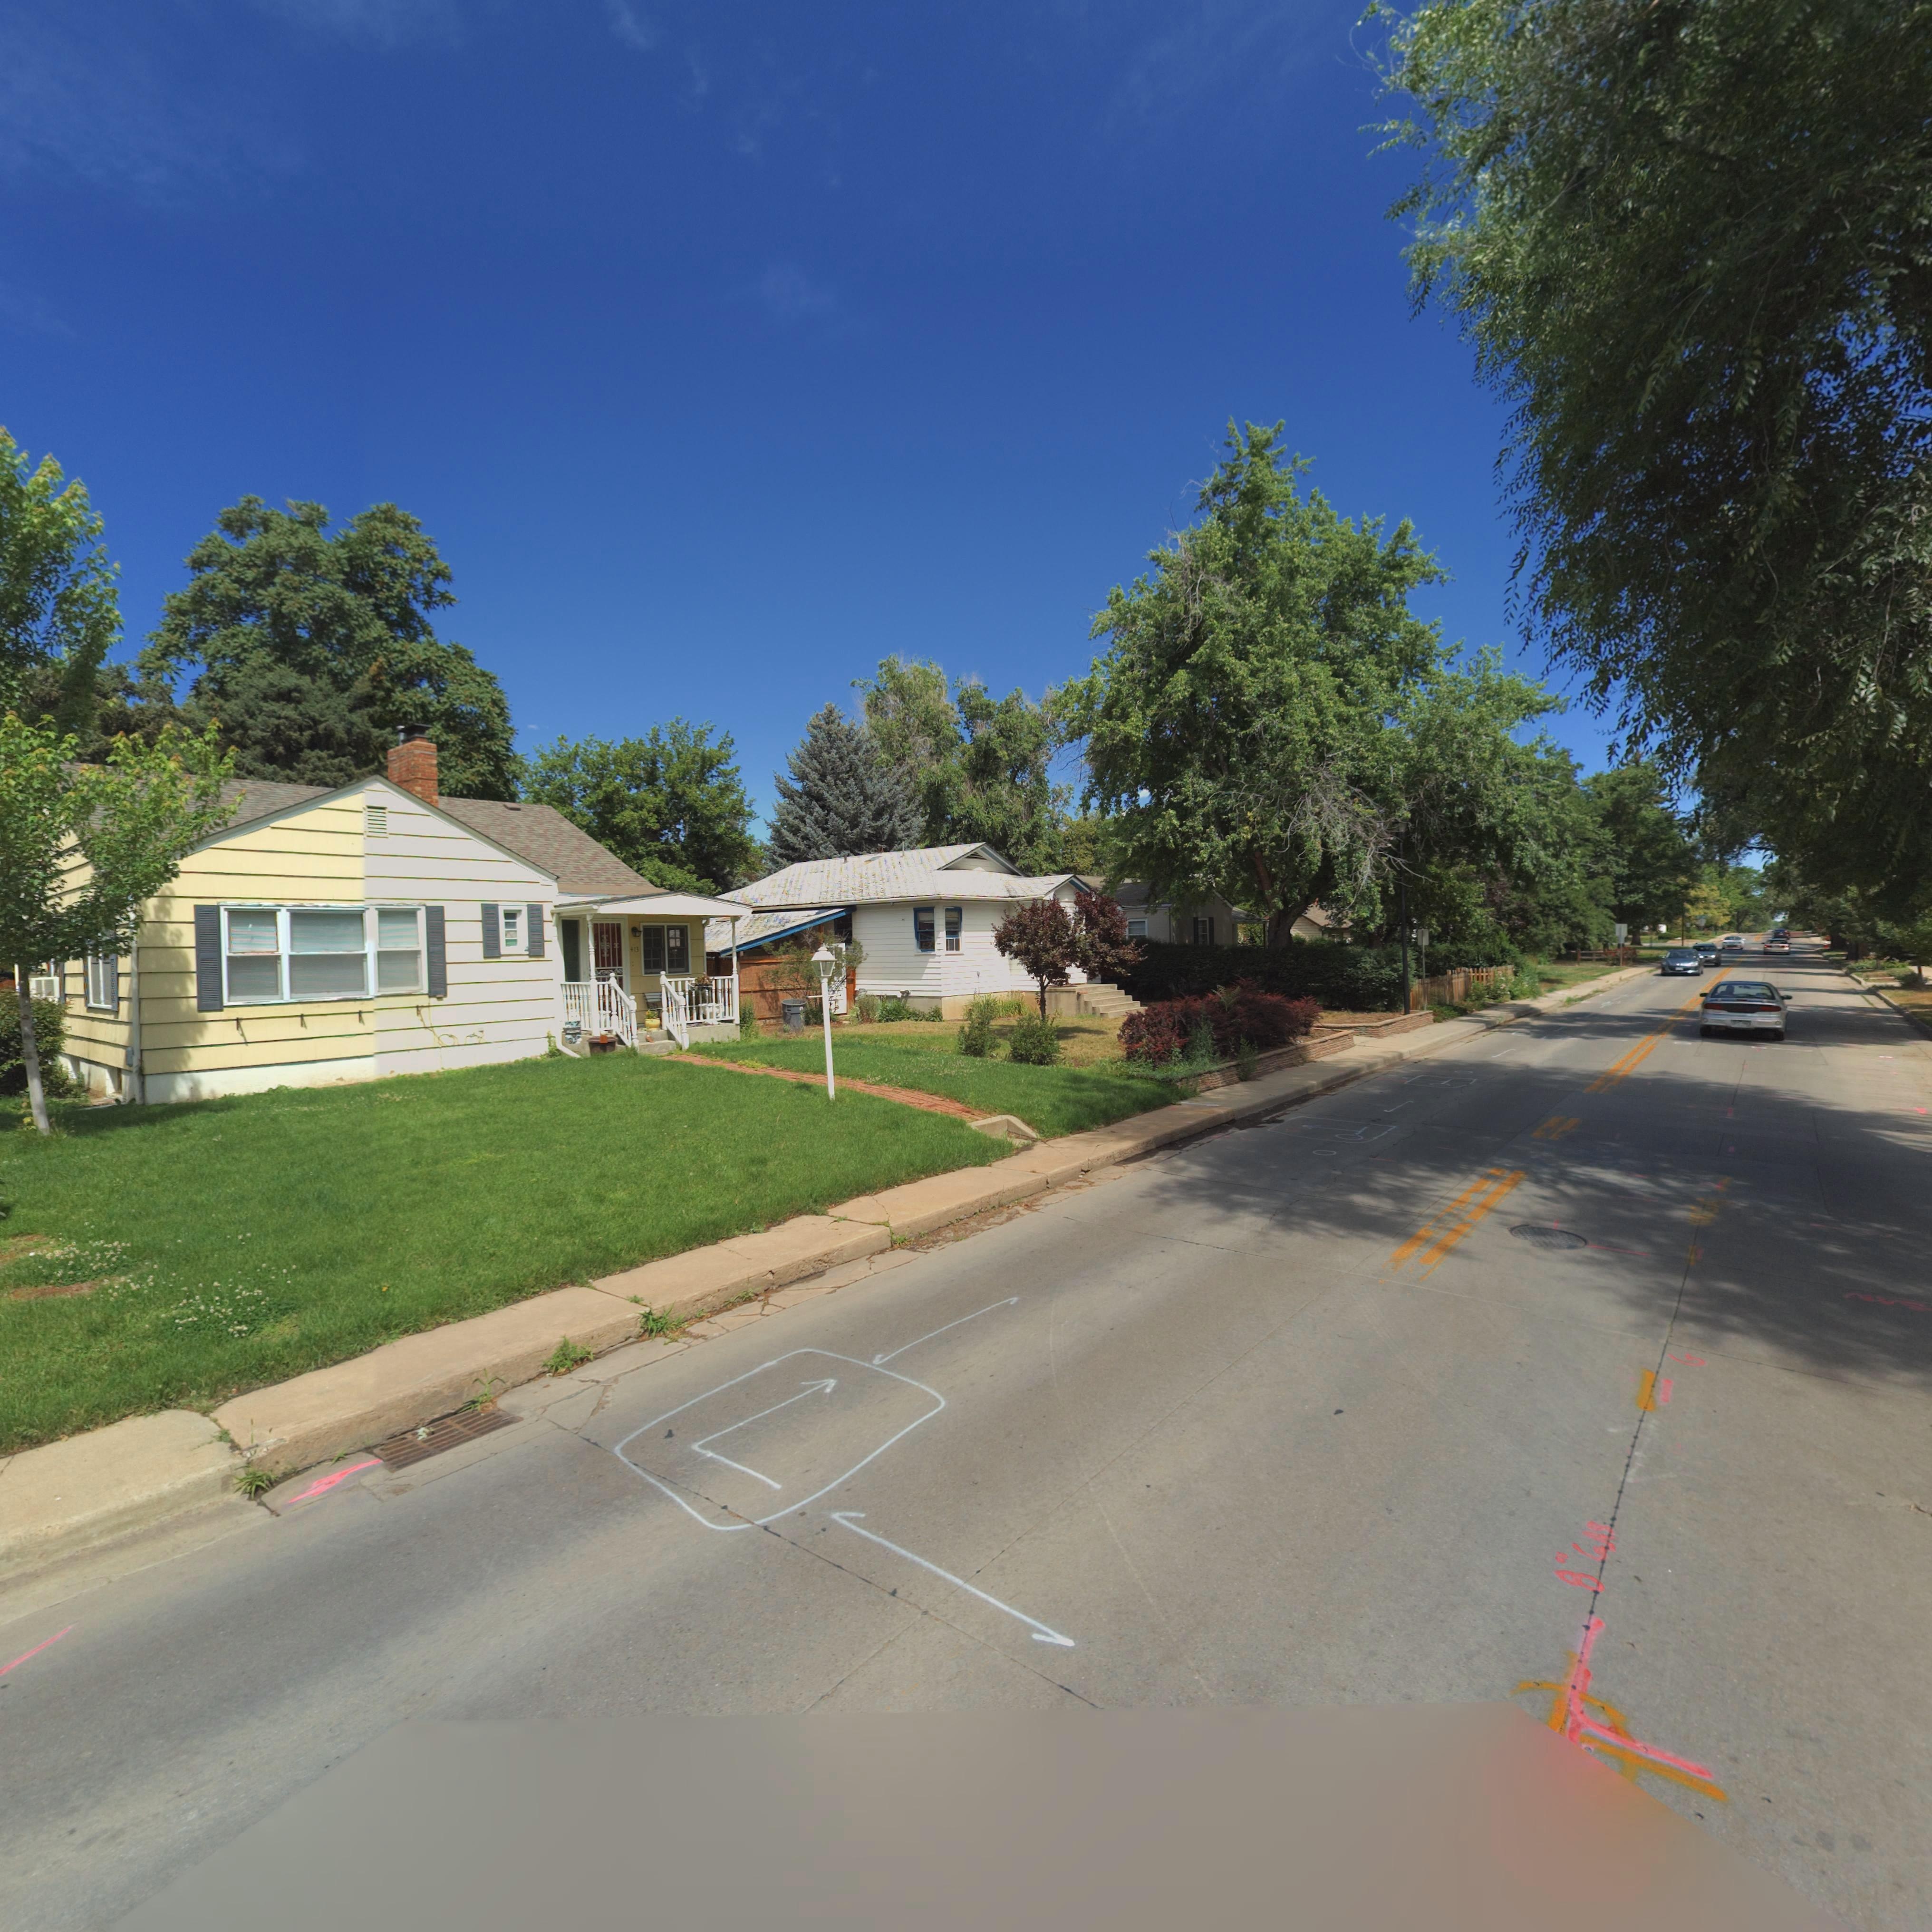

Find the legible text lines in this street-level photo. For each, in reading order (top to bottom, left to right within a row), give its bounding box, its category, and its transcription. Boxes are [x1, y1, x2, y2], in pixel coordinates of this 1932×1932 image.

[629, 946, 639, 953] StreetNumber: 413